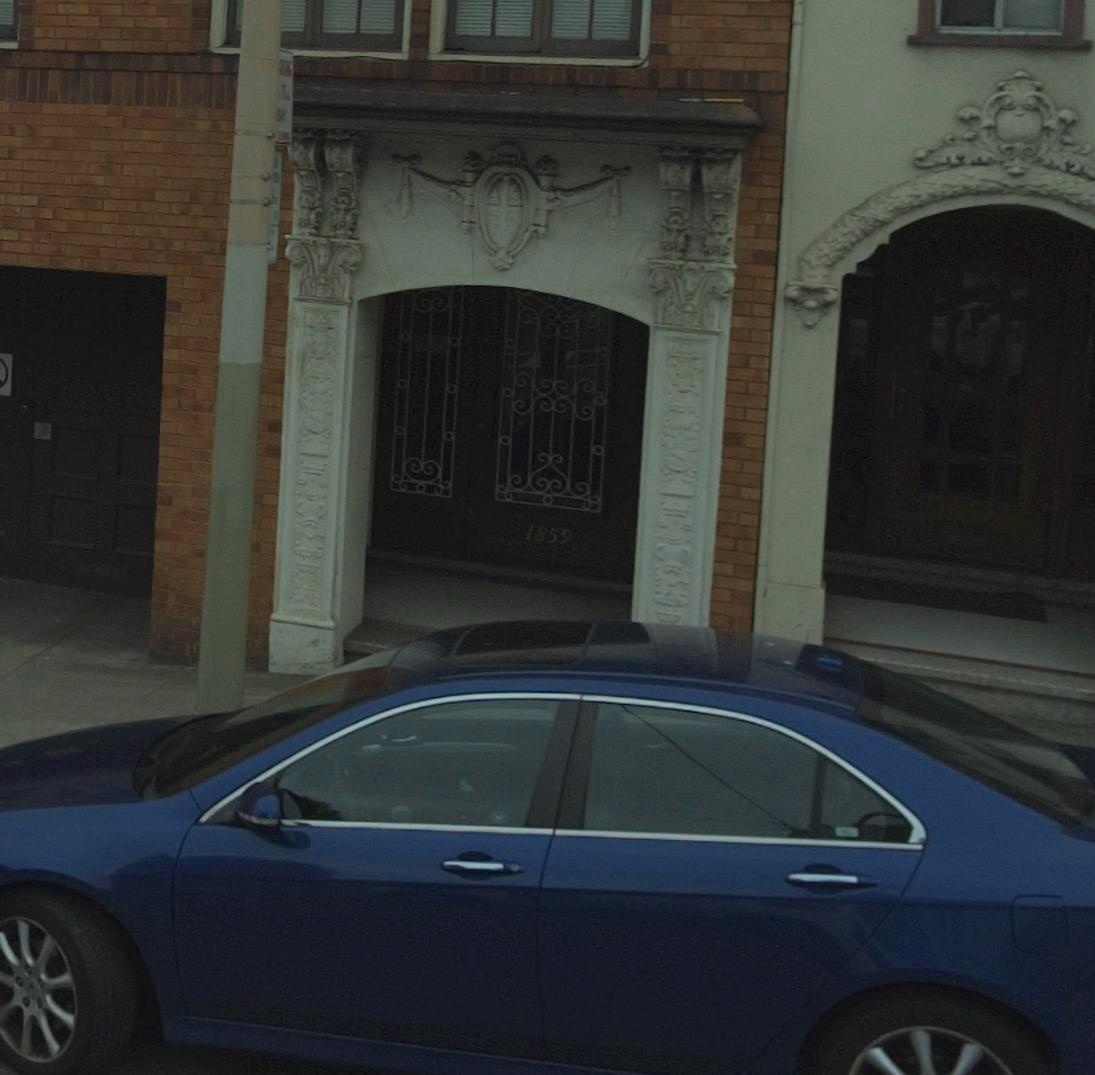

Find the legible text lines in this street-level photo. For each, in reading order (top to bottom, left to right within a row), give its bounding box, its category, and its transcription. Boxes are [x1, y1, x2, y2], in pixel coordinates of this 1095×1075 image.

[522, 522, 575, 548] StreetNumber: 1859